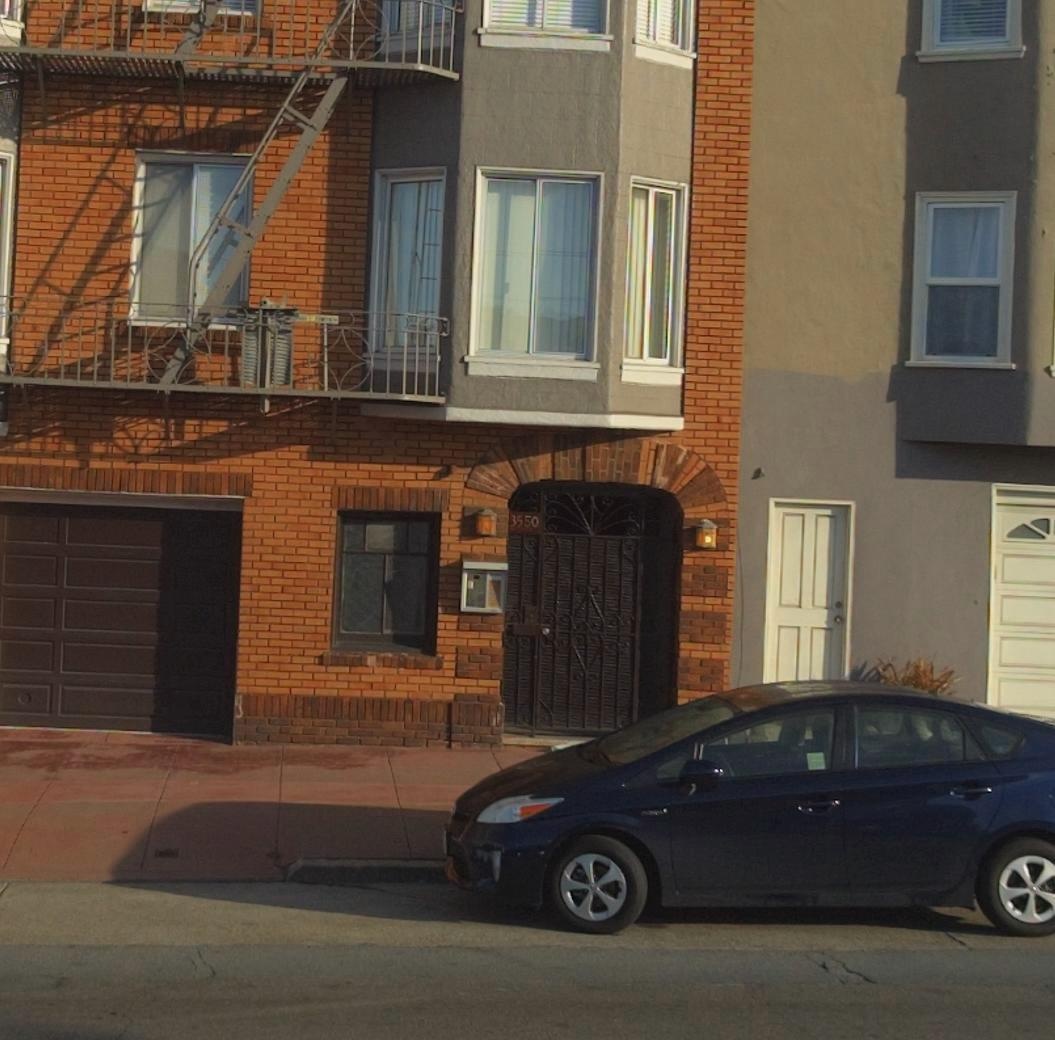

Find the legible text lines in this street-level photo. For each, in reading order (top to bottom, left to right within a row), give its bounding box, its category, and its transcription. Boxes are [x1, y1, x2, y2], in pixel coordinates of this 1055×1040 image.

[508, 512, 541, 530] StreetNumber: 3550